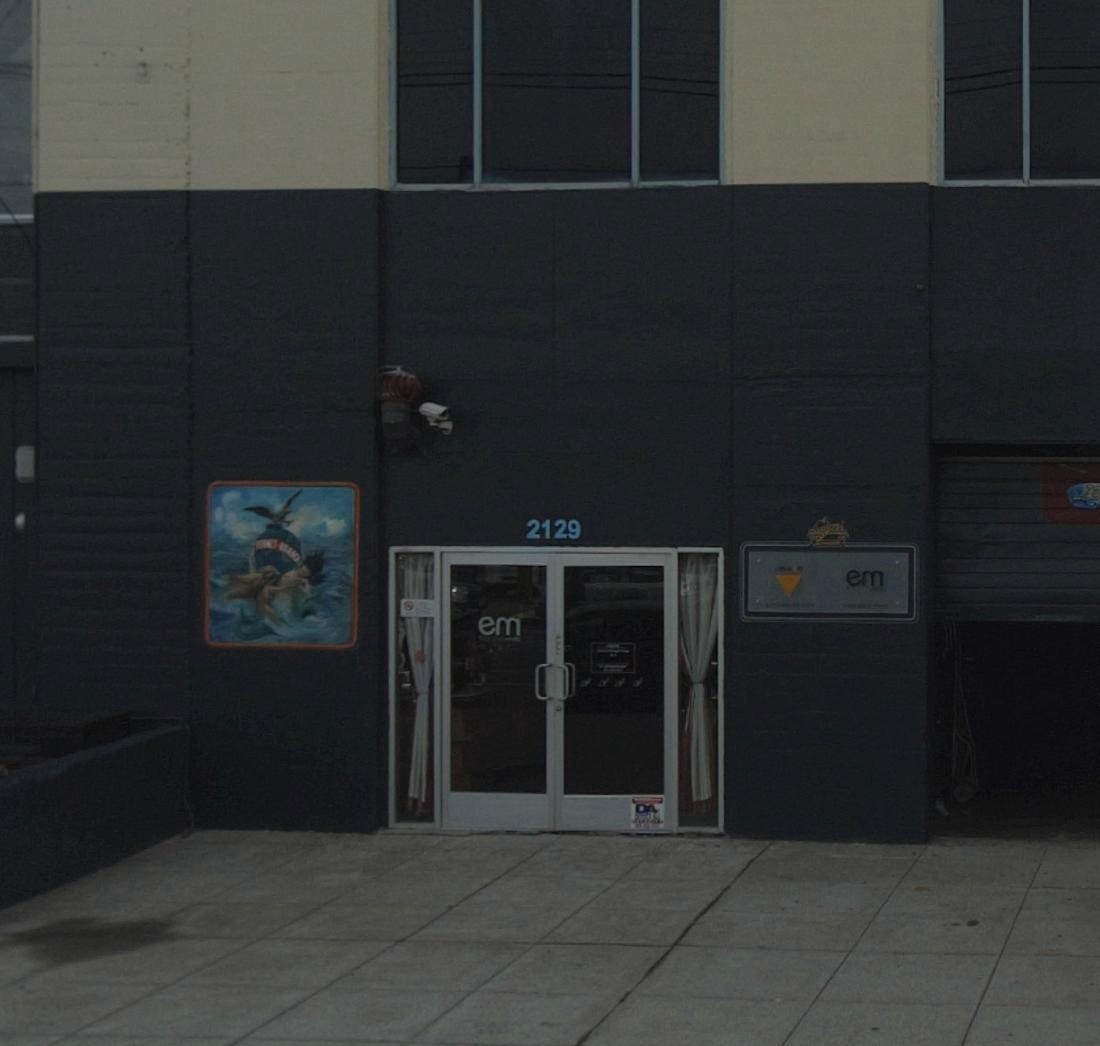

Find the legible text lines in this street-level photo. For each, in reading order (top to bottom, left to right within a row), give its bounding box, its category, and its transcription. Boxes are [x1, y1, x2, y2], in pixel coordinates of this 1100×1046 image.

[525, 517, 583, 541] StreetNumber: 2129
[845, 568, 885, 588] BusinessName: em
[475, 614, 522, 637] BusinessName: em
[634, 801, 662, 815] None: DA